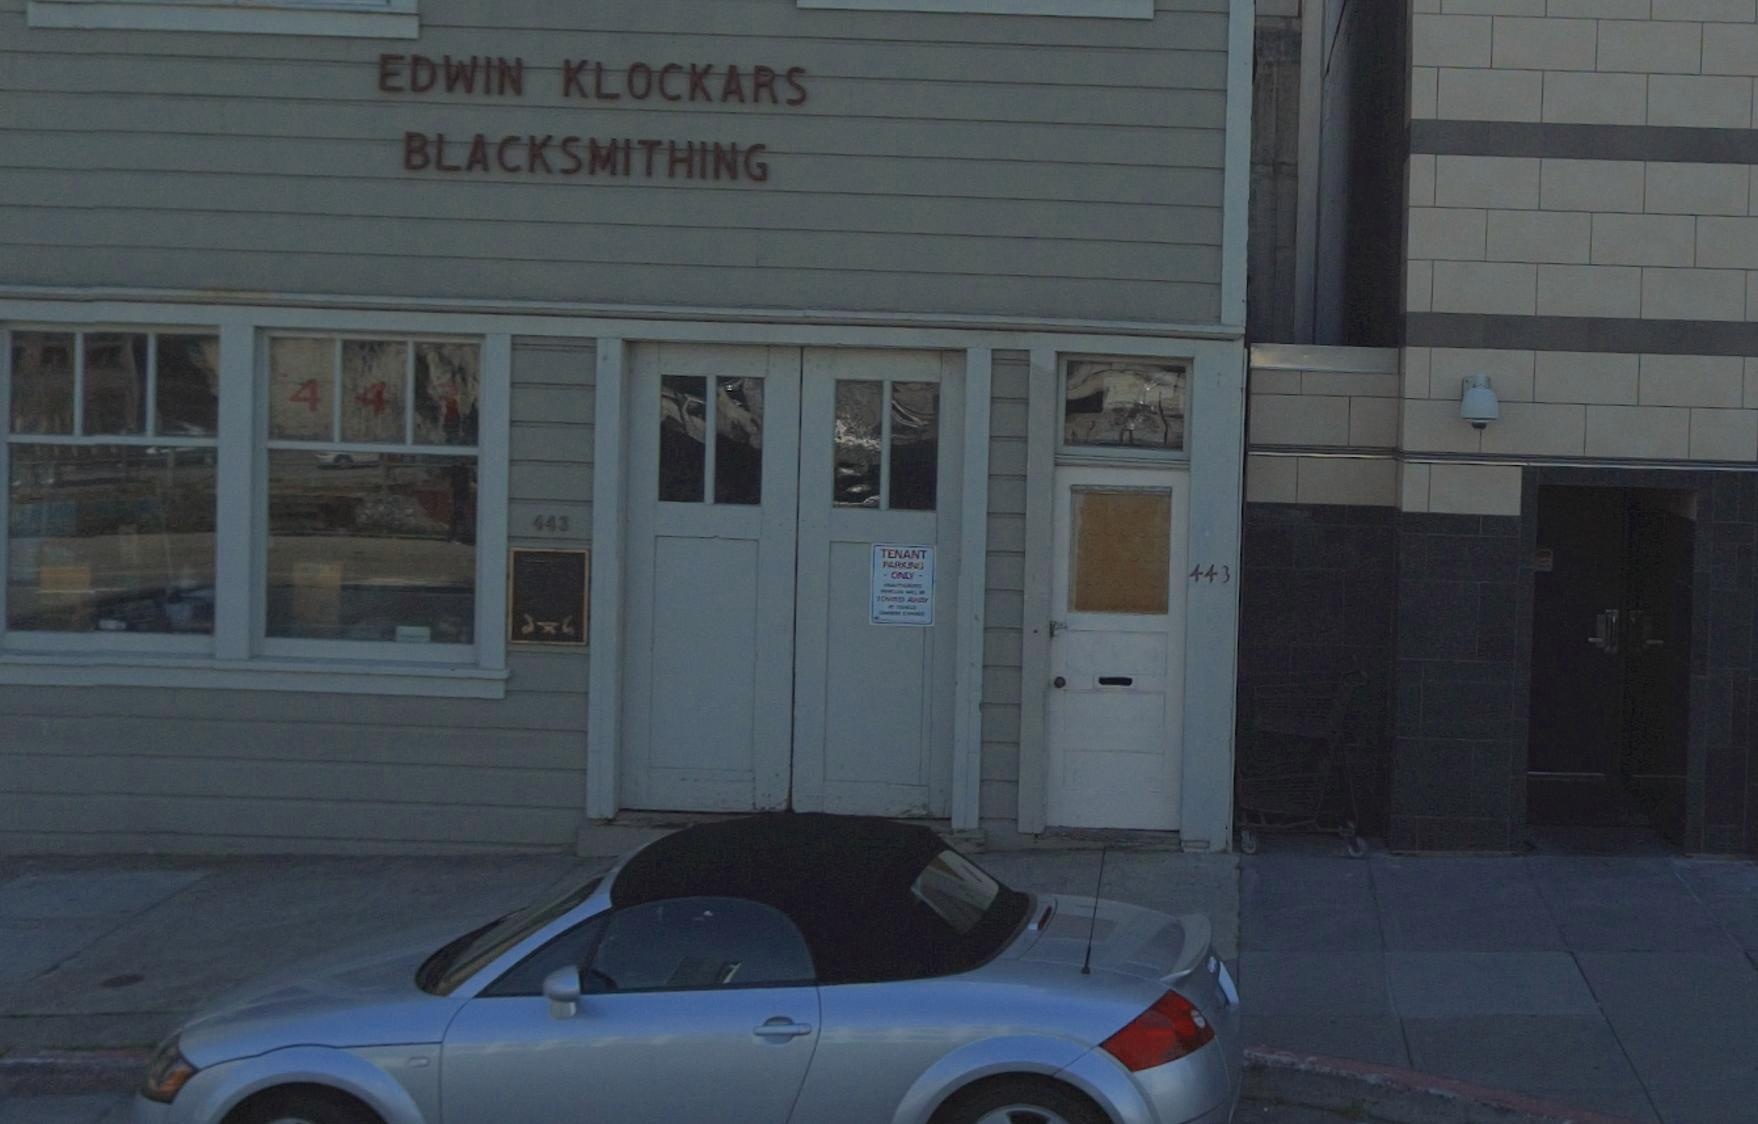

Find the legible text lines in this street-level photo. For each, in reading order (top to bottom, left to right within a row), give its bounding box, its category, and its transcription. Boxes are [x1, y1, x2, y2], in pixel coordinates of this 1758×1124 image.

[376, 52, 810, 107] BusinessName: EDWIN KLOCKARS
[401, 130, 769, 182] BusinessName: BLACKSMITHING
[531, 513, 570, 533] StreetNumber: 443
[878, 548, 928, 560] None: TENANT
[890, 571, 918, 580] None: ONLY
[1188, 562, 1232, 584] StreetNumber: 443